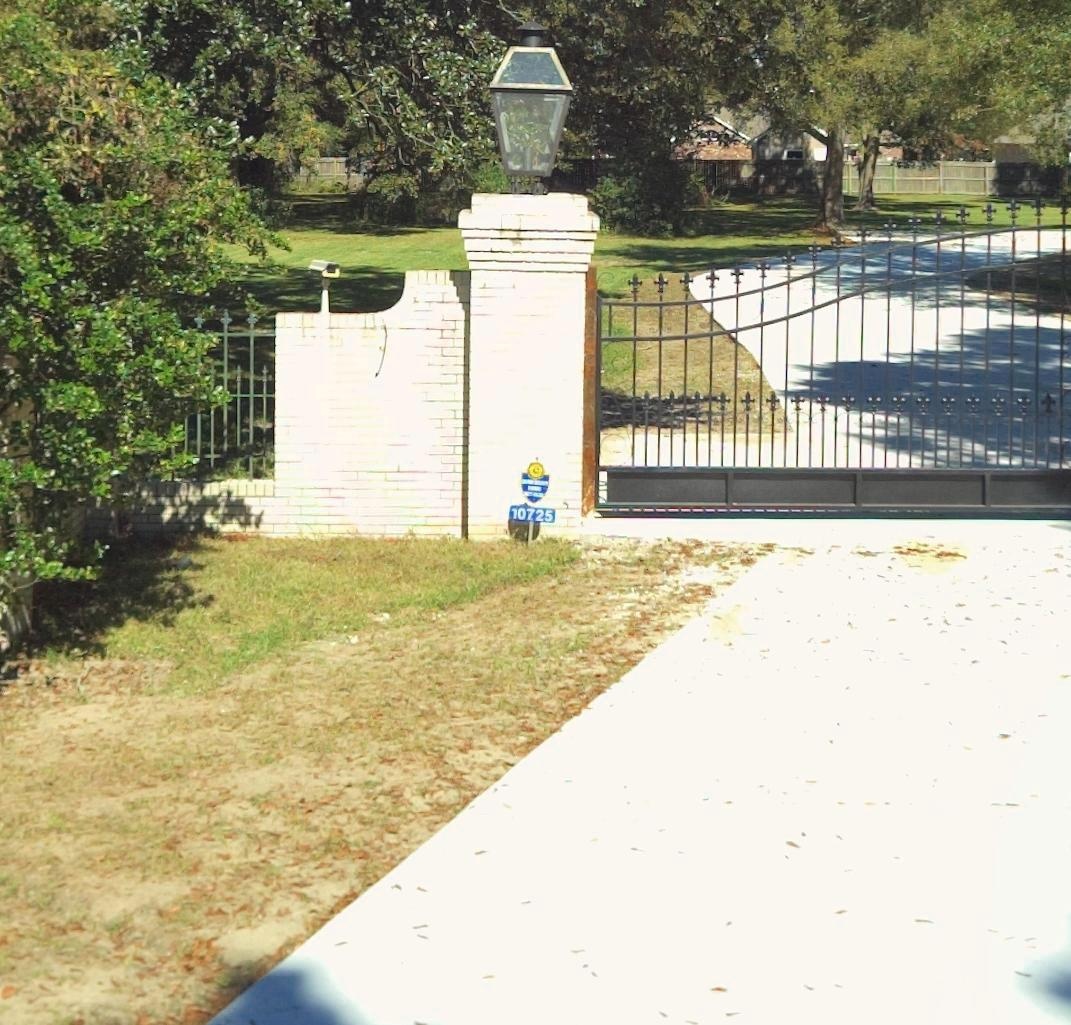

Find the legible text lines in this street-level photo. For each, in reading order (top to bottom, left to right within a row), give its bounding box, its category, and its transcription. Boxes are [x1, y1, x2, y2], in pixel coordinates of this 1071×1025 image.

[509, 505, 555, 524] StreetNumber: 10725